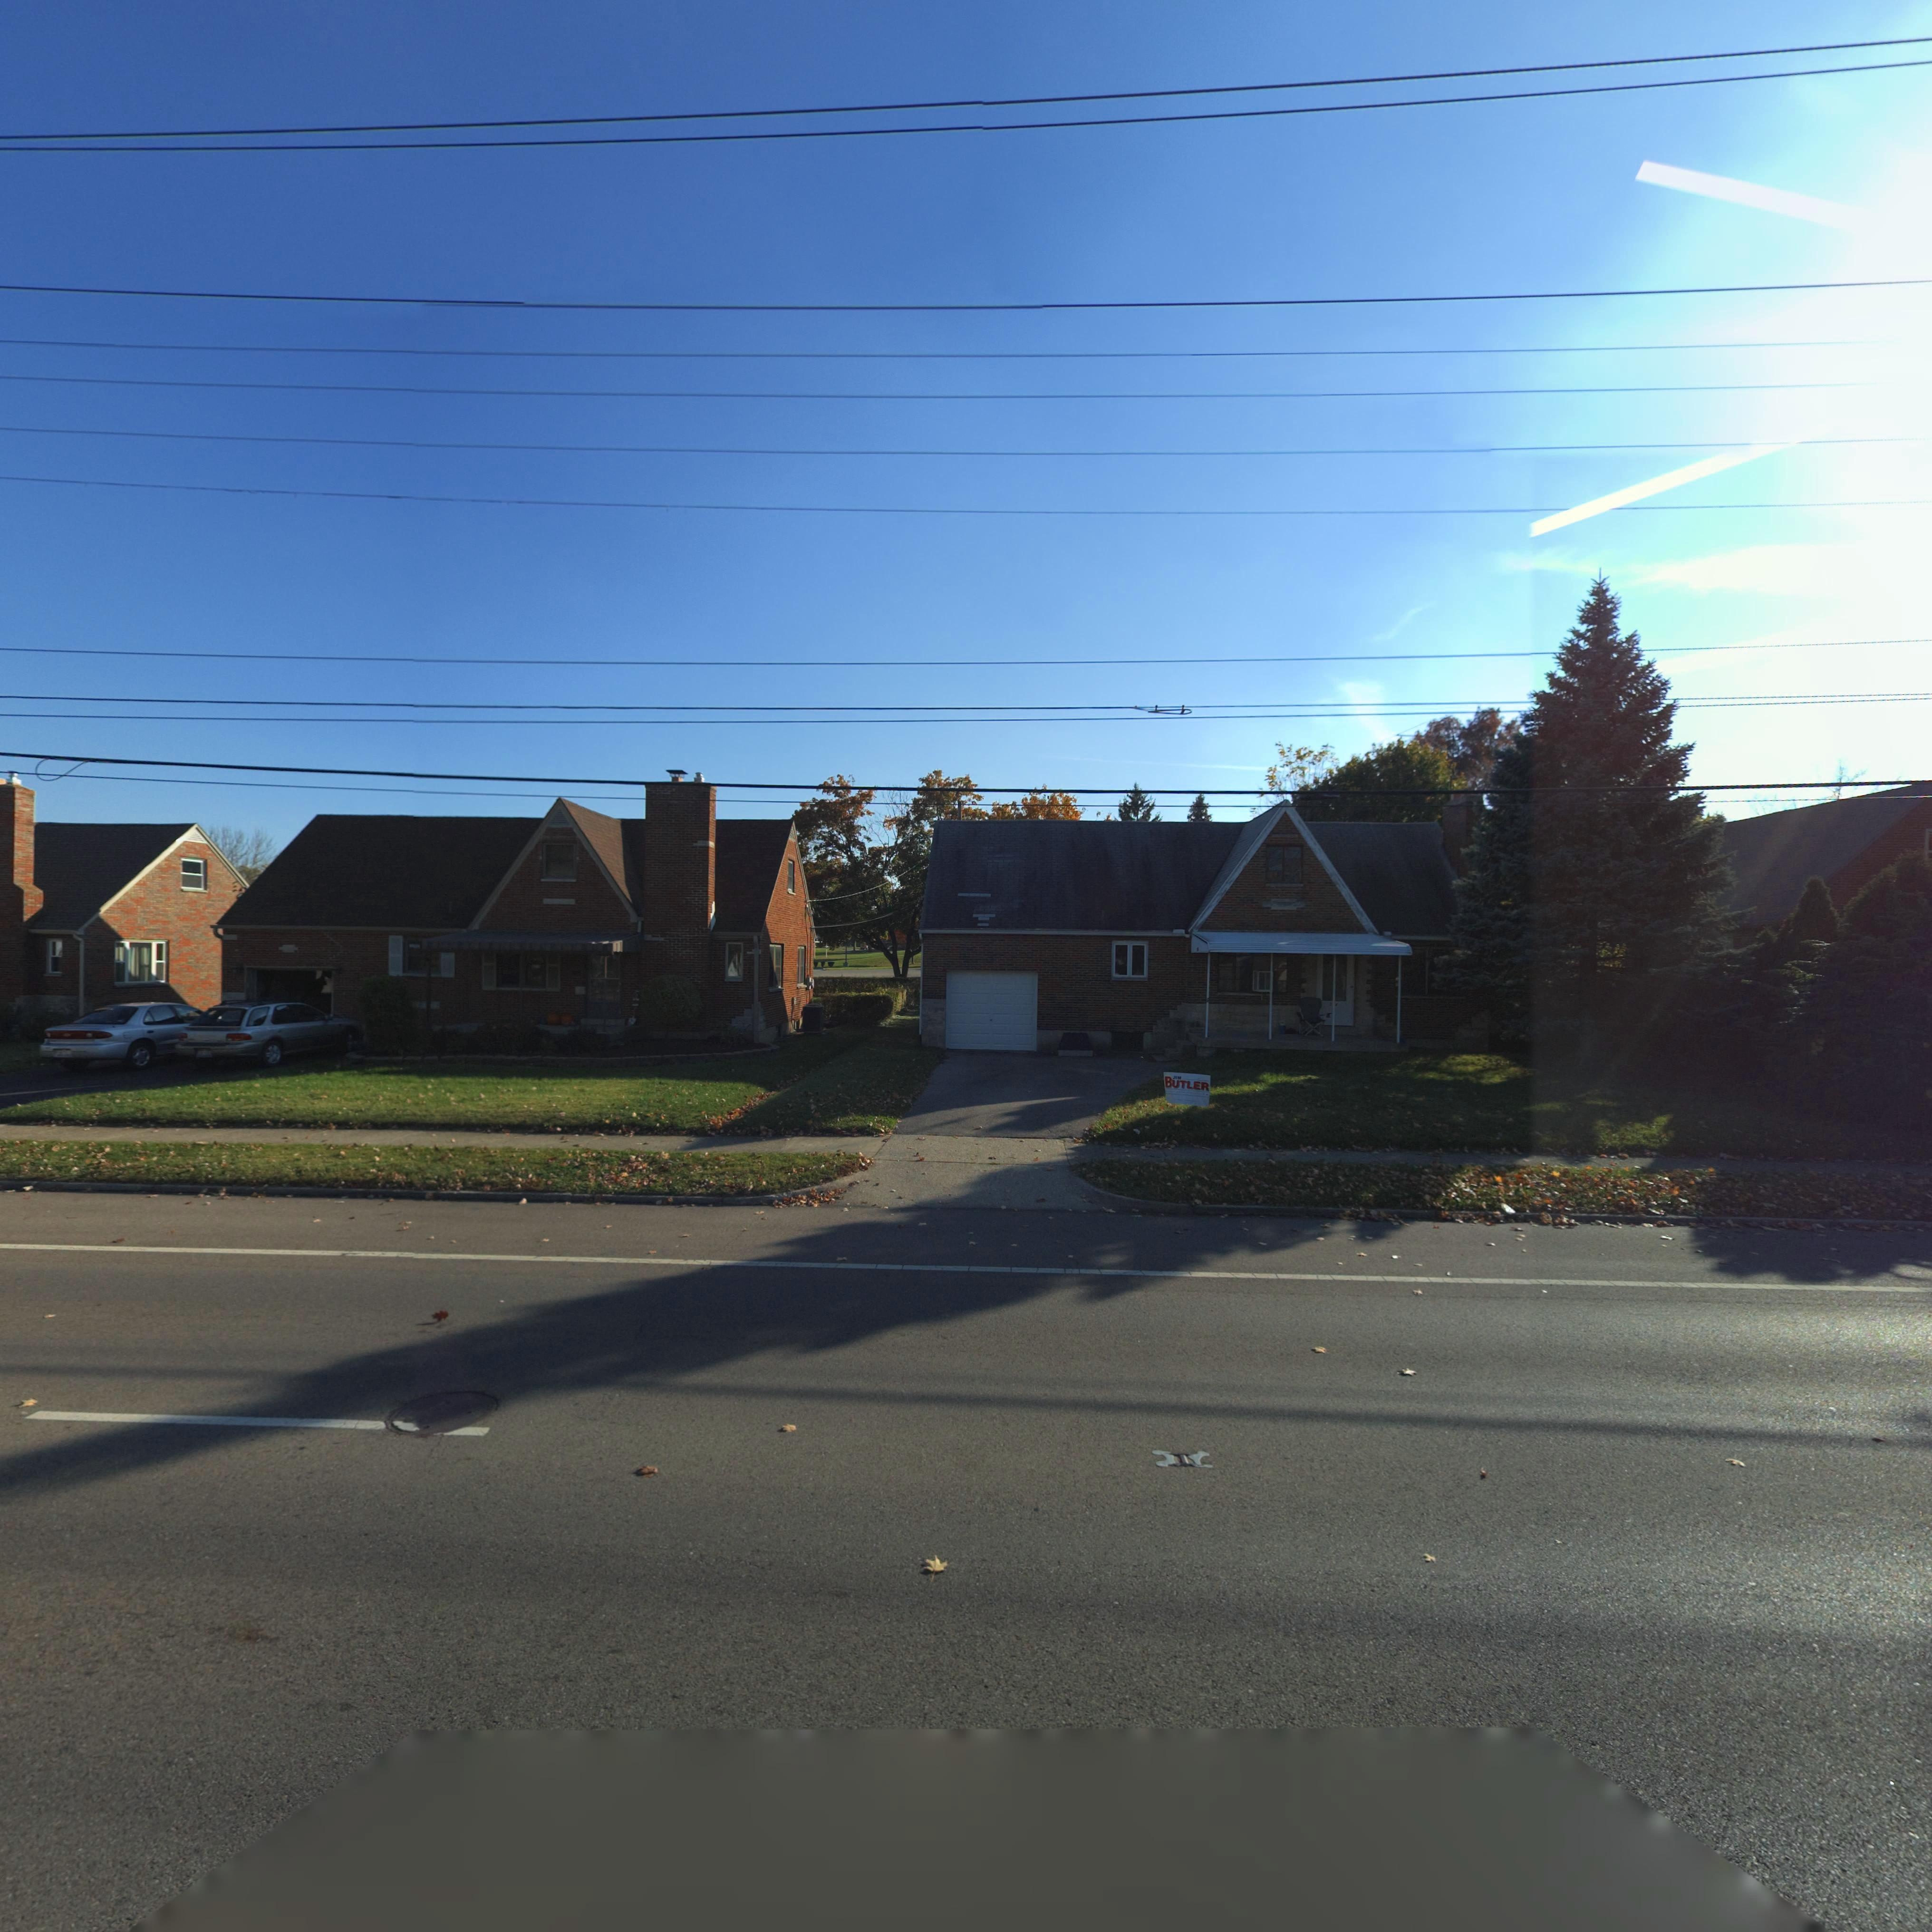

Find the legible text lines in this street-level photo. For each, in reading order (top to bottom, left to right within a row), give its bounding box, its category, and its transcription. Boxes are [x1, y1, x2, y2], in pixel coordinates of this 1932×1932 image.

[1329, 1002, 1338, 1007] StreetNumber: 5*4